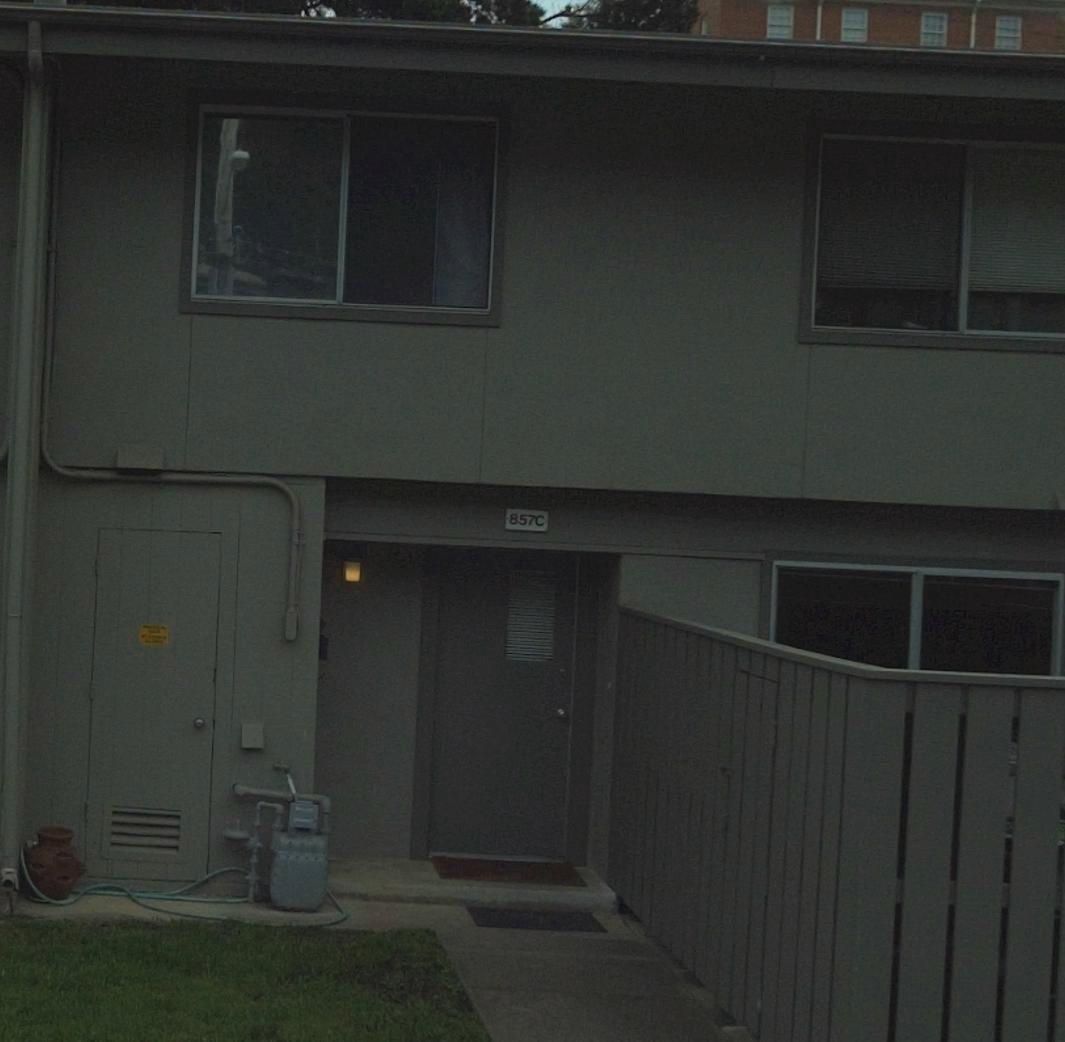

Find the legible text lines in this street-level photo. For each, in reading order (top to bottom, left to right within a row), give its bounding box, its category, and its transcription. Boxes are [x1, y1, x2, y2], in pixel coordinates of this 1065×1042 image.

[509, 513, 546, 528] StreetNumber: 857C